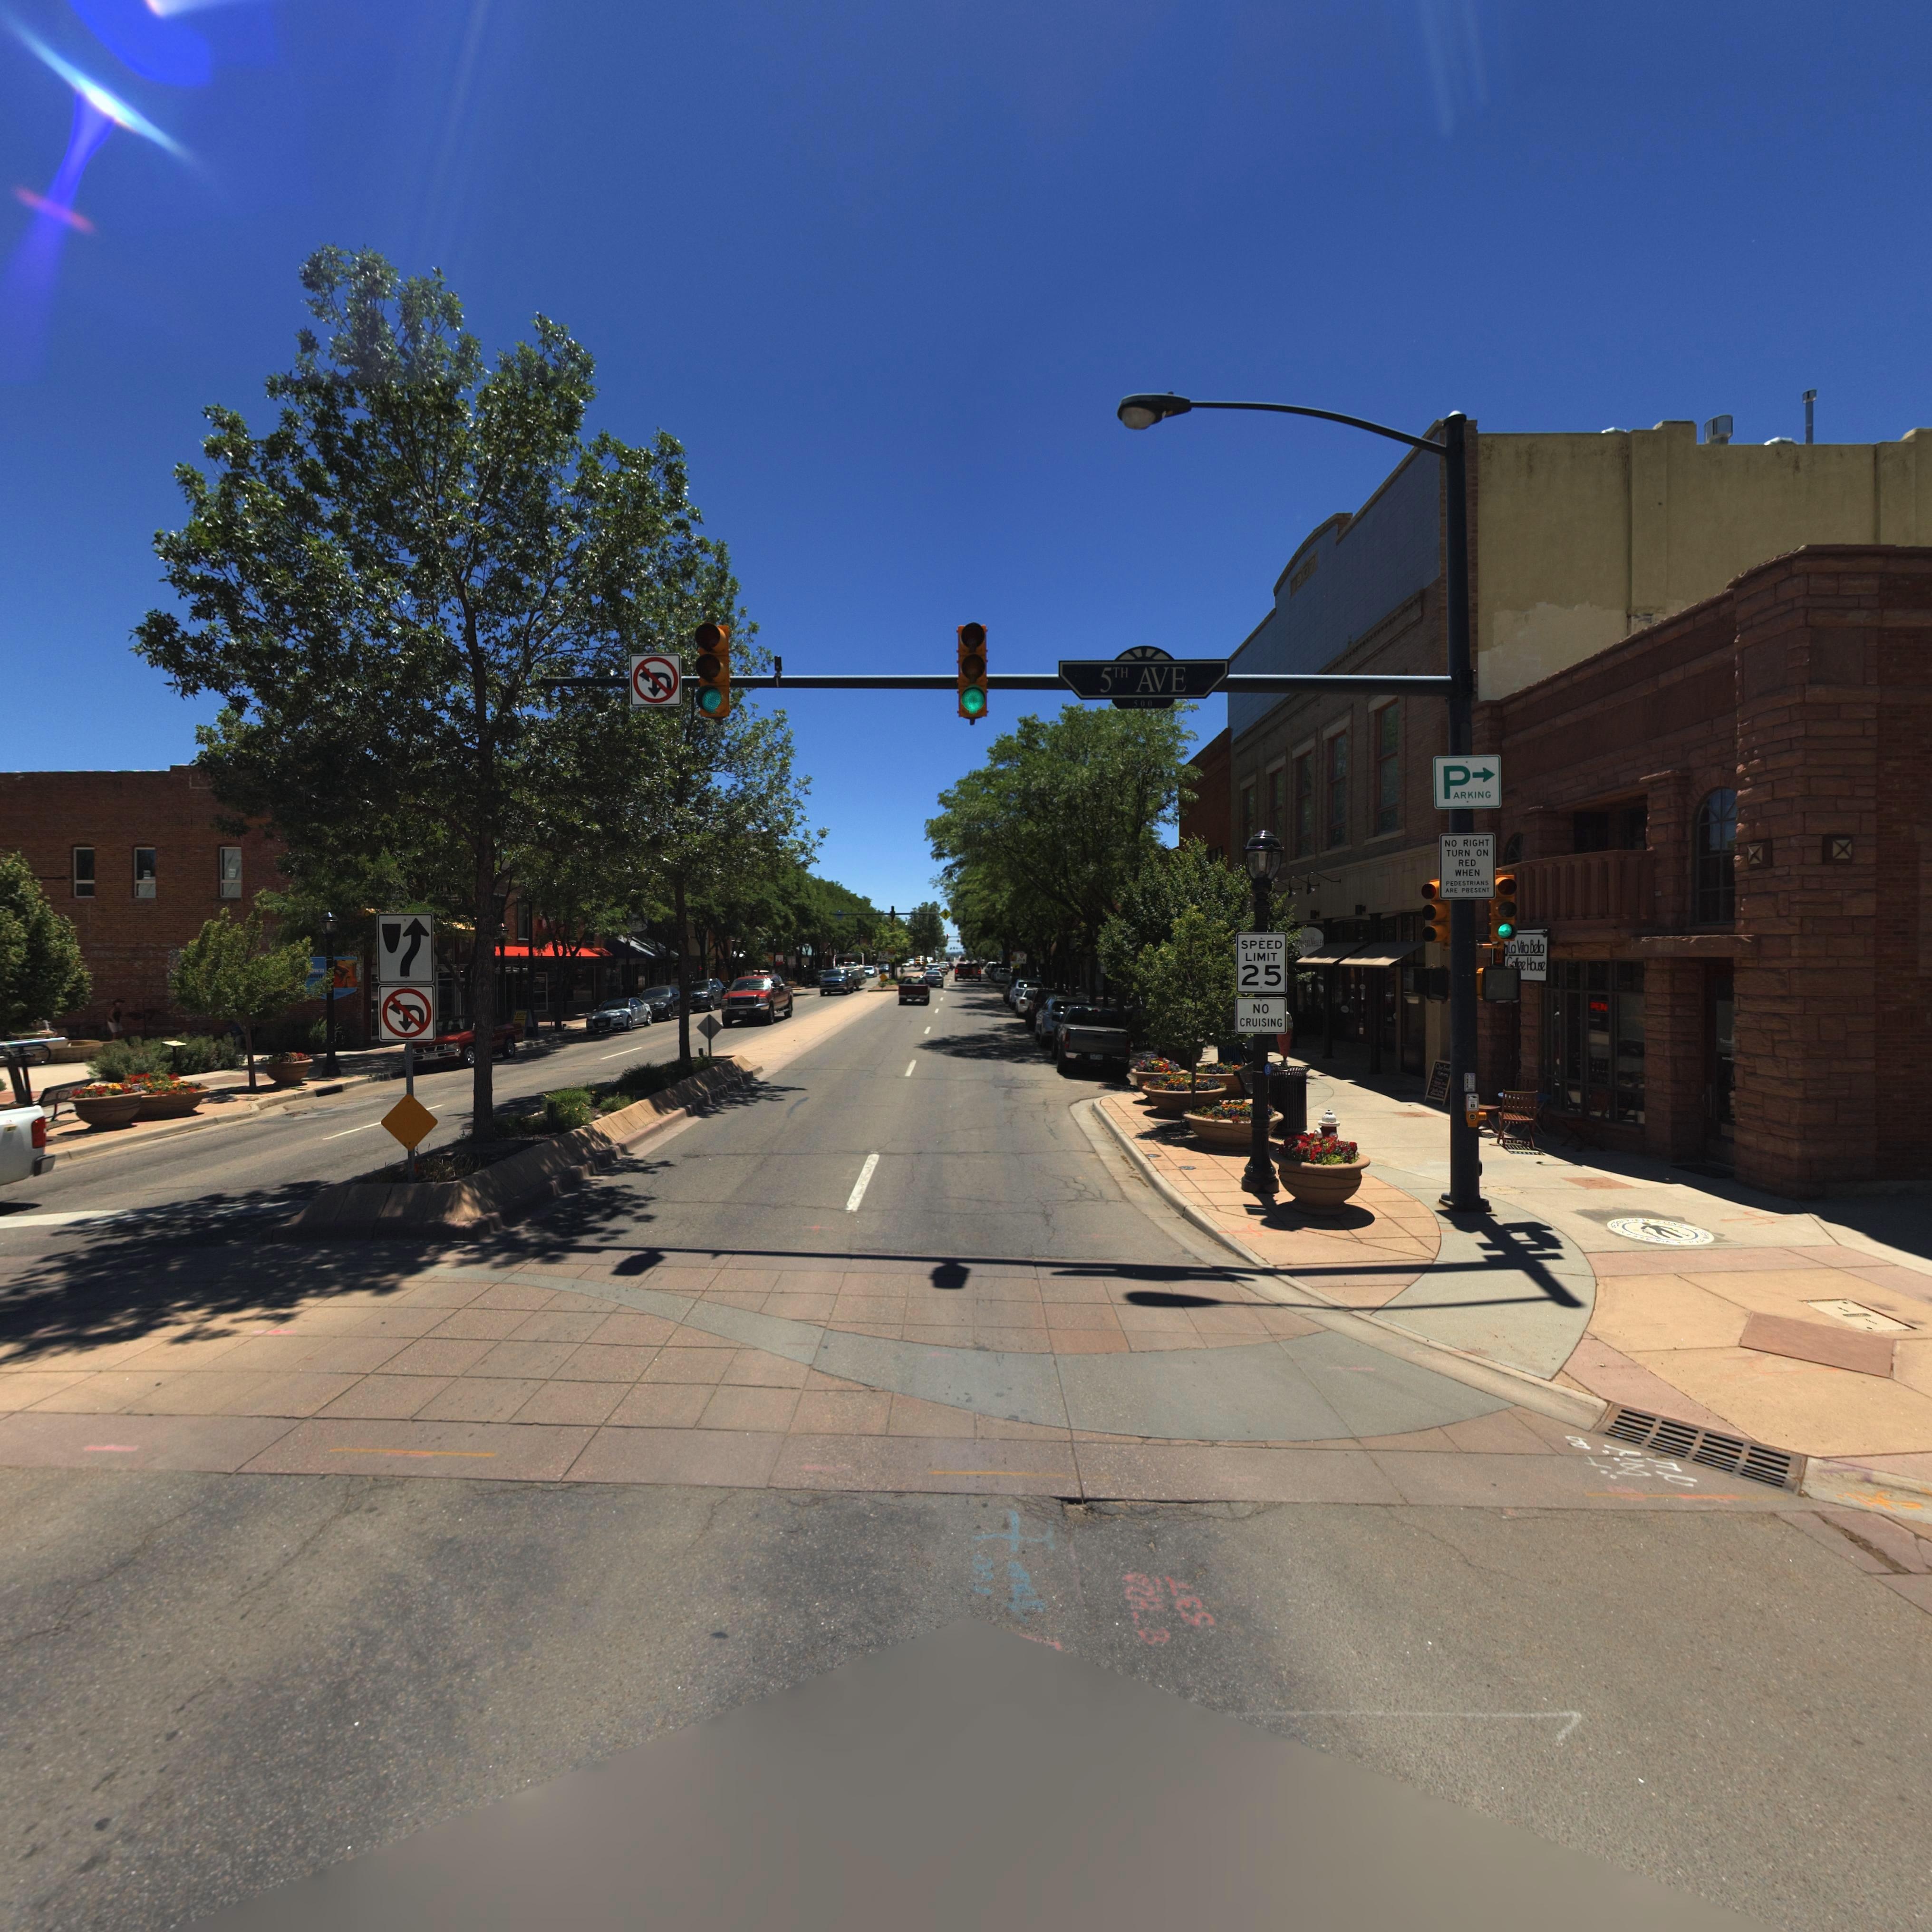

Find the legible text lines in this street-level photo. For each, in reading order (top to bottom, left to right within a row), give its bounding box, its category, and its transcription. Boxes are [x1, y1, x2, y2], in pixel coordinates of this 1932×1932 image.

[1100, 665, 1187, 694] StreetName: 5TH AVE
[1132, 699, 1152, 708] StreetNumberRange: 500
[1306, 937, 1324, 947] BusinessName: EL VALLEY
[1507, 938, 1545, 954] BusinessName: La Vita Bela
[1505, 956, 1546, 972] BusinessName: ****ee House